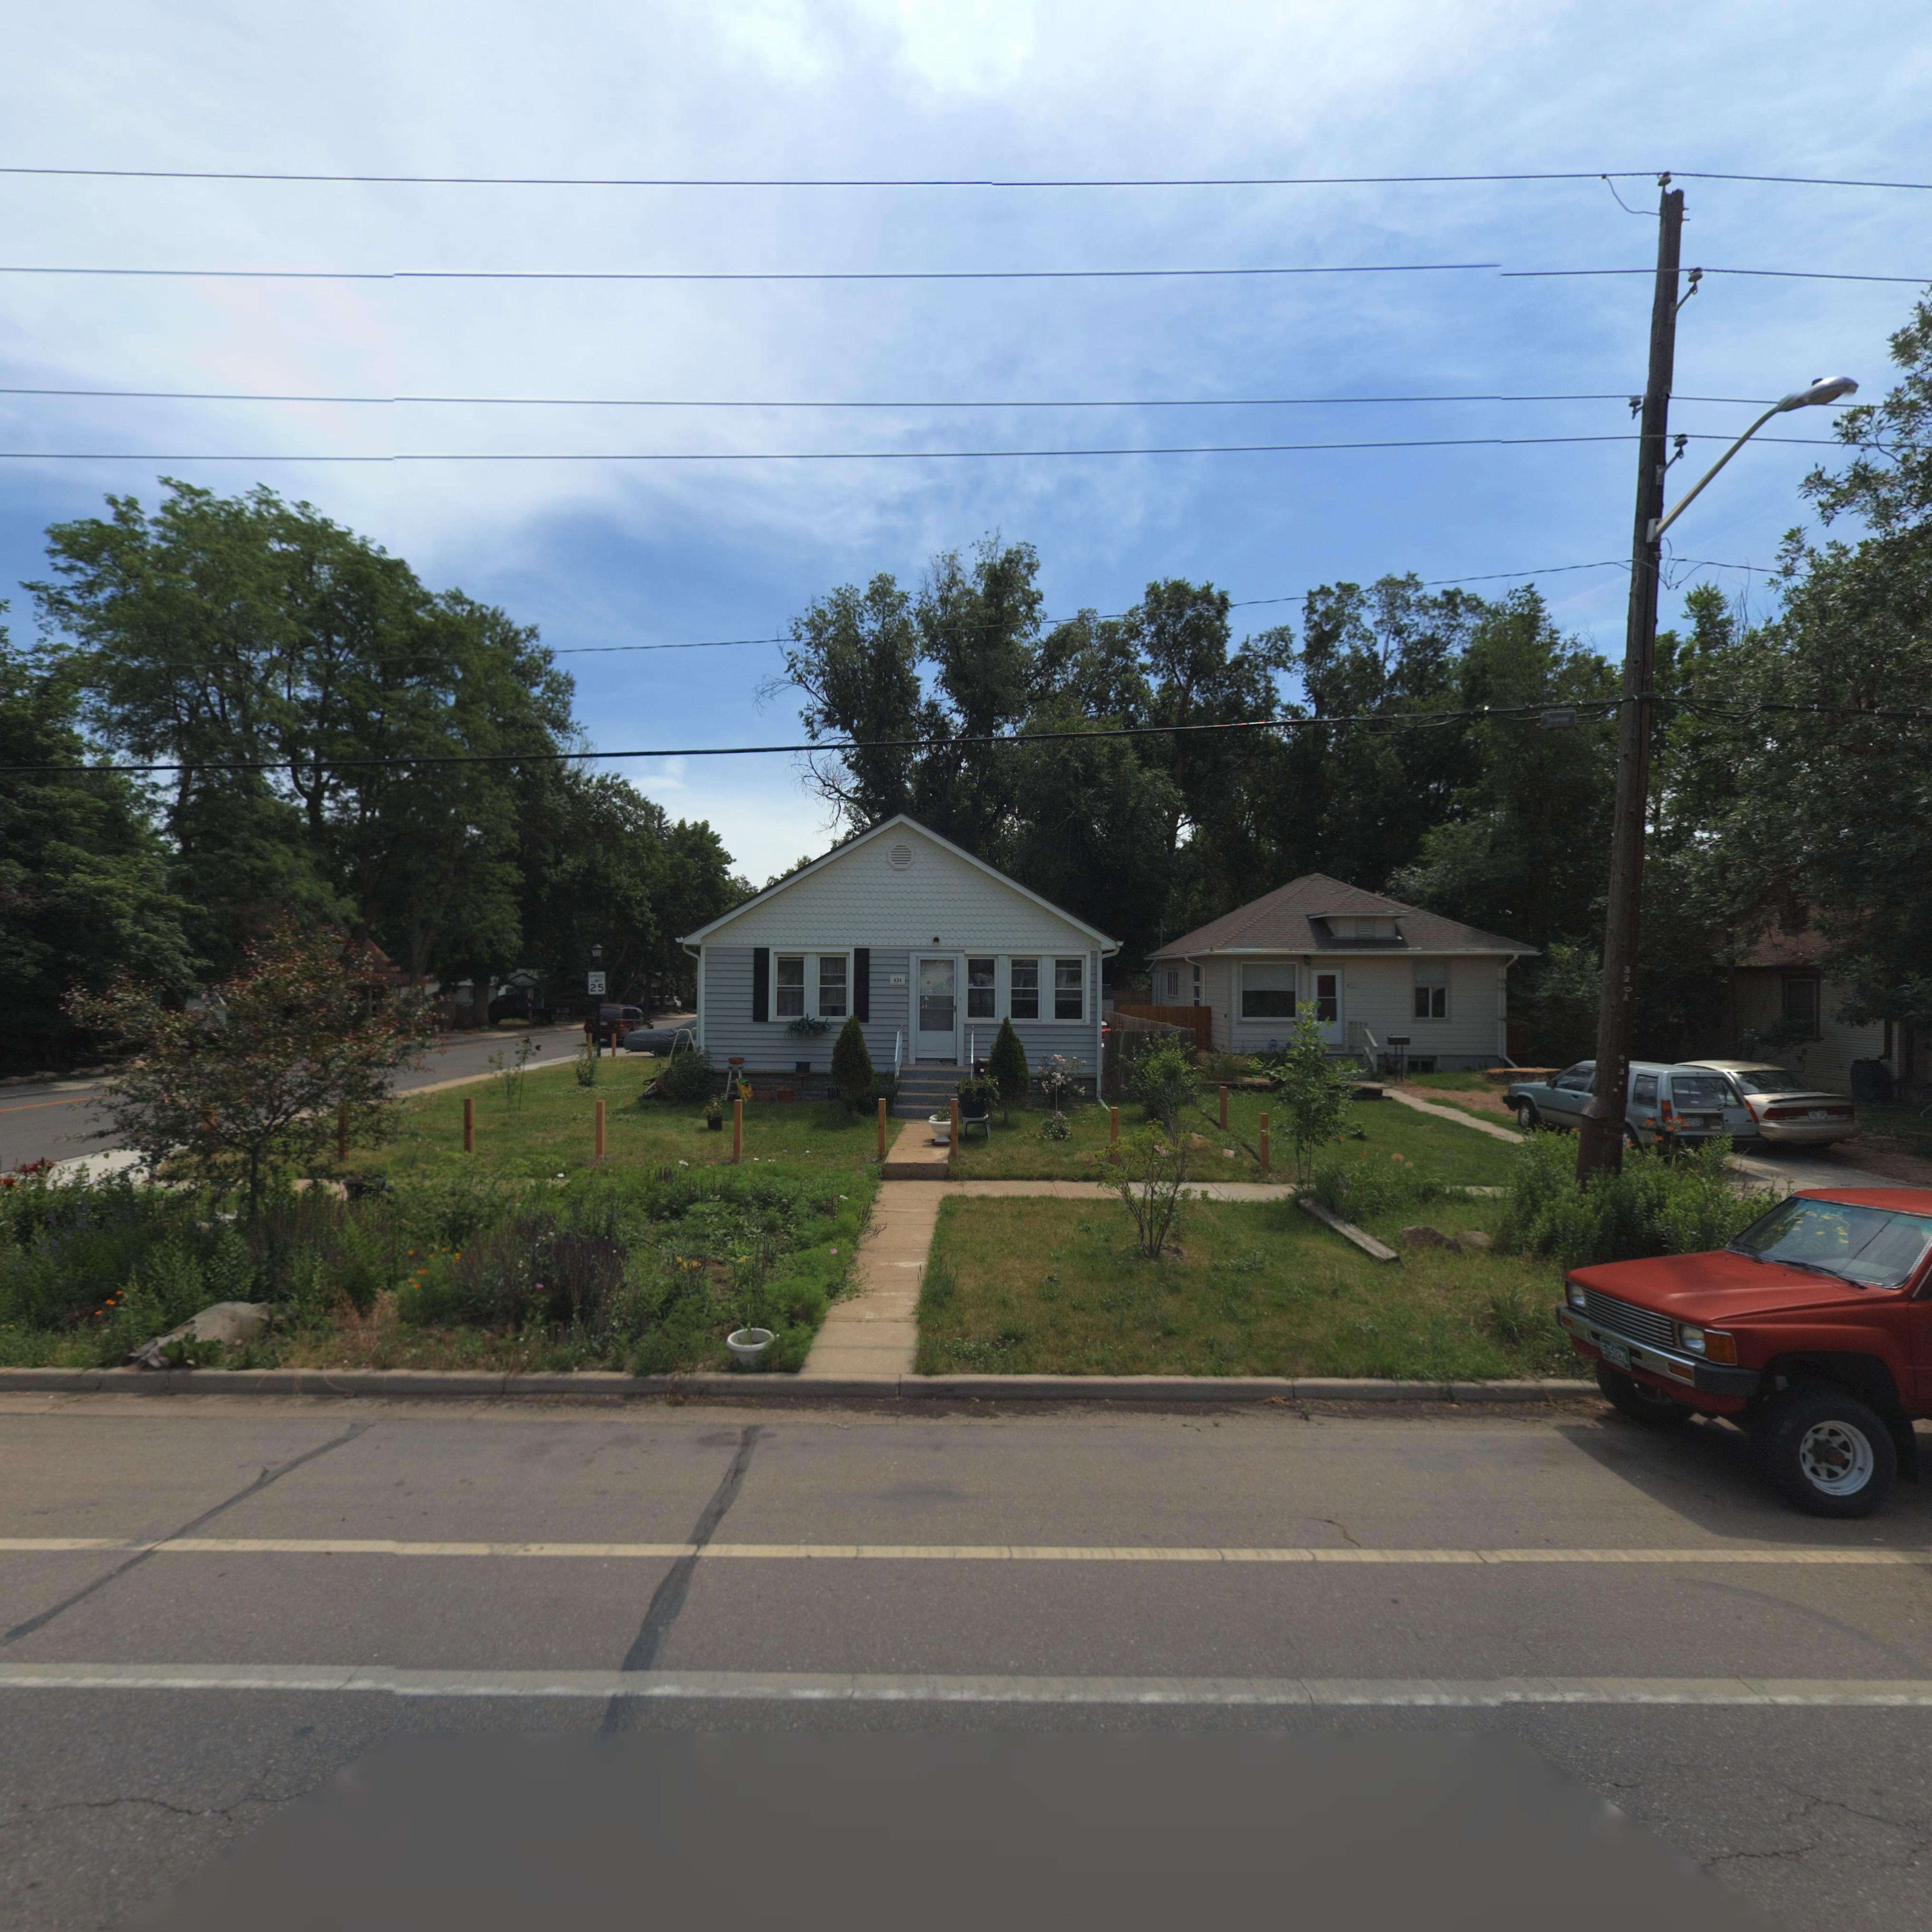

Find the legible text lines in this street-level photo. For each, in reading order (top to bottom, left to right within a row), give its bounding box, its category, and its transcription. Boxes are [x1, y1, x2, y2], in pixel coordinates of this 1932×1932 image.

[893, 977, 901, 982] StreetNumber: 434
[1345, 982, 1357, 988] StreetNumber: 432